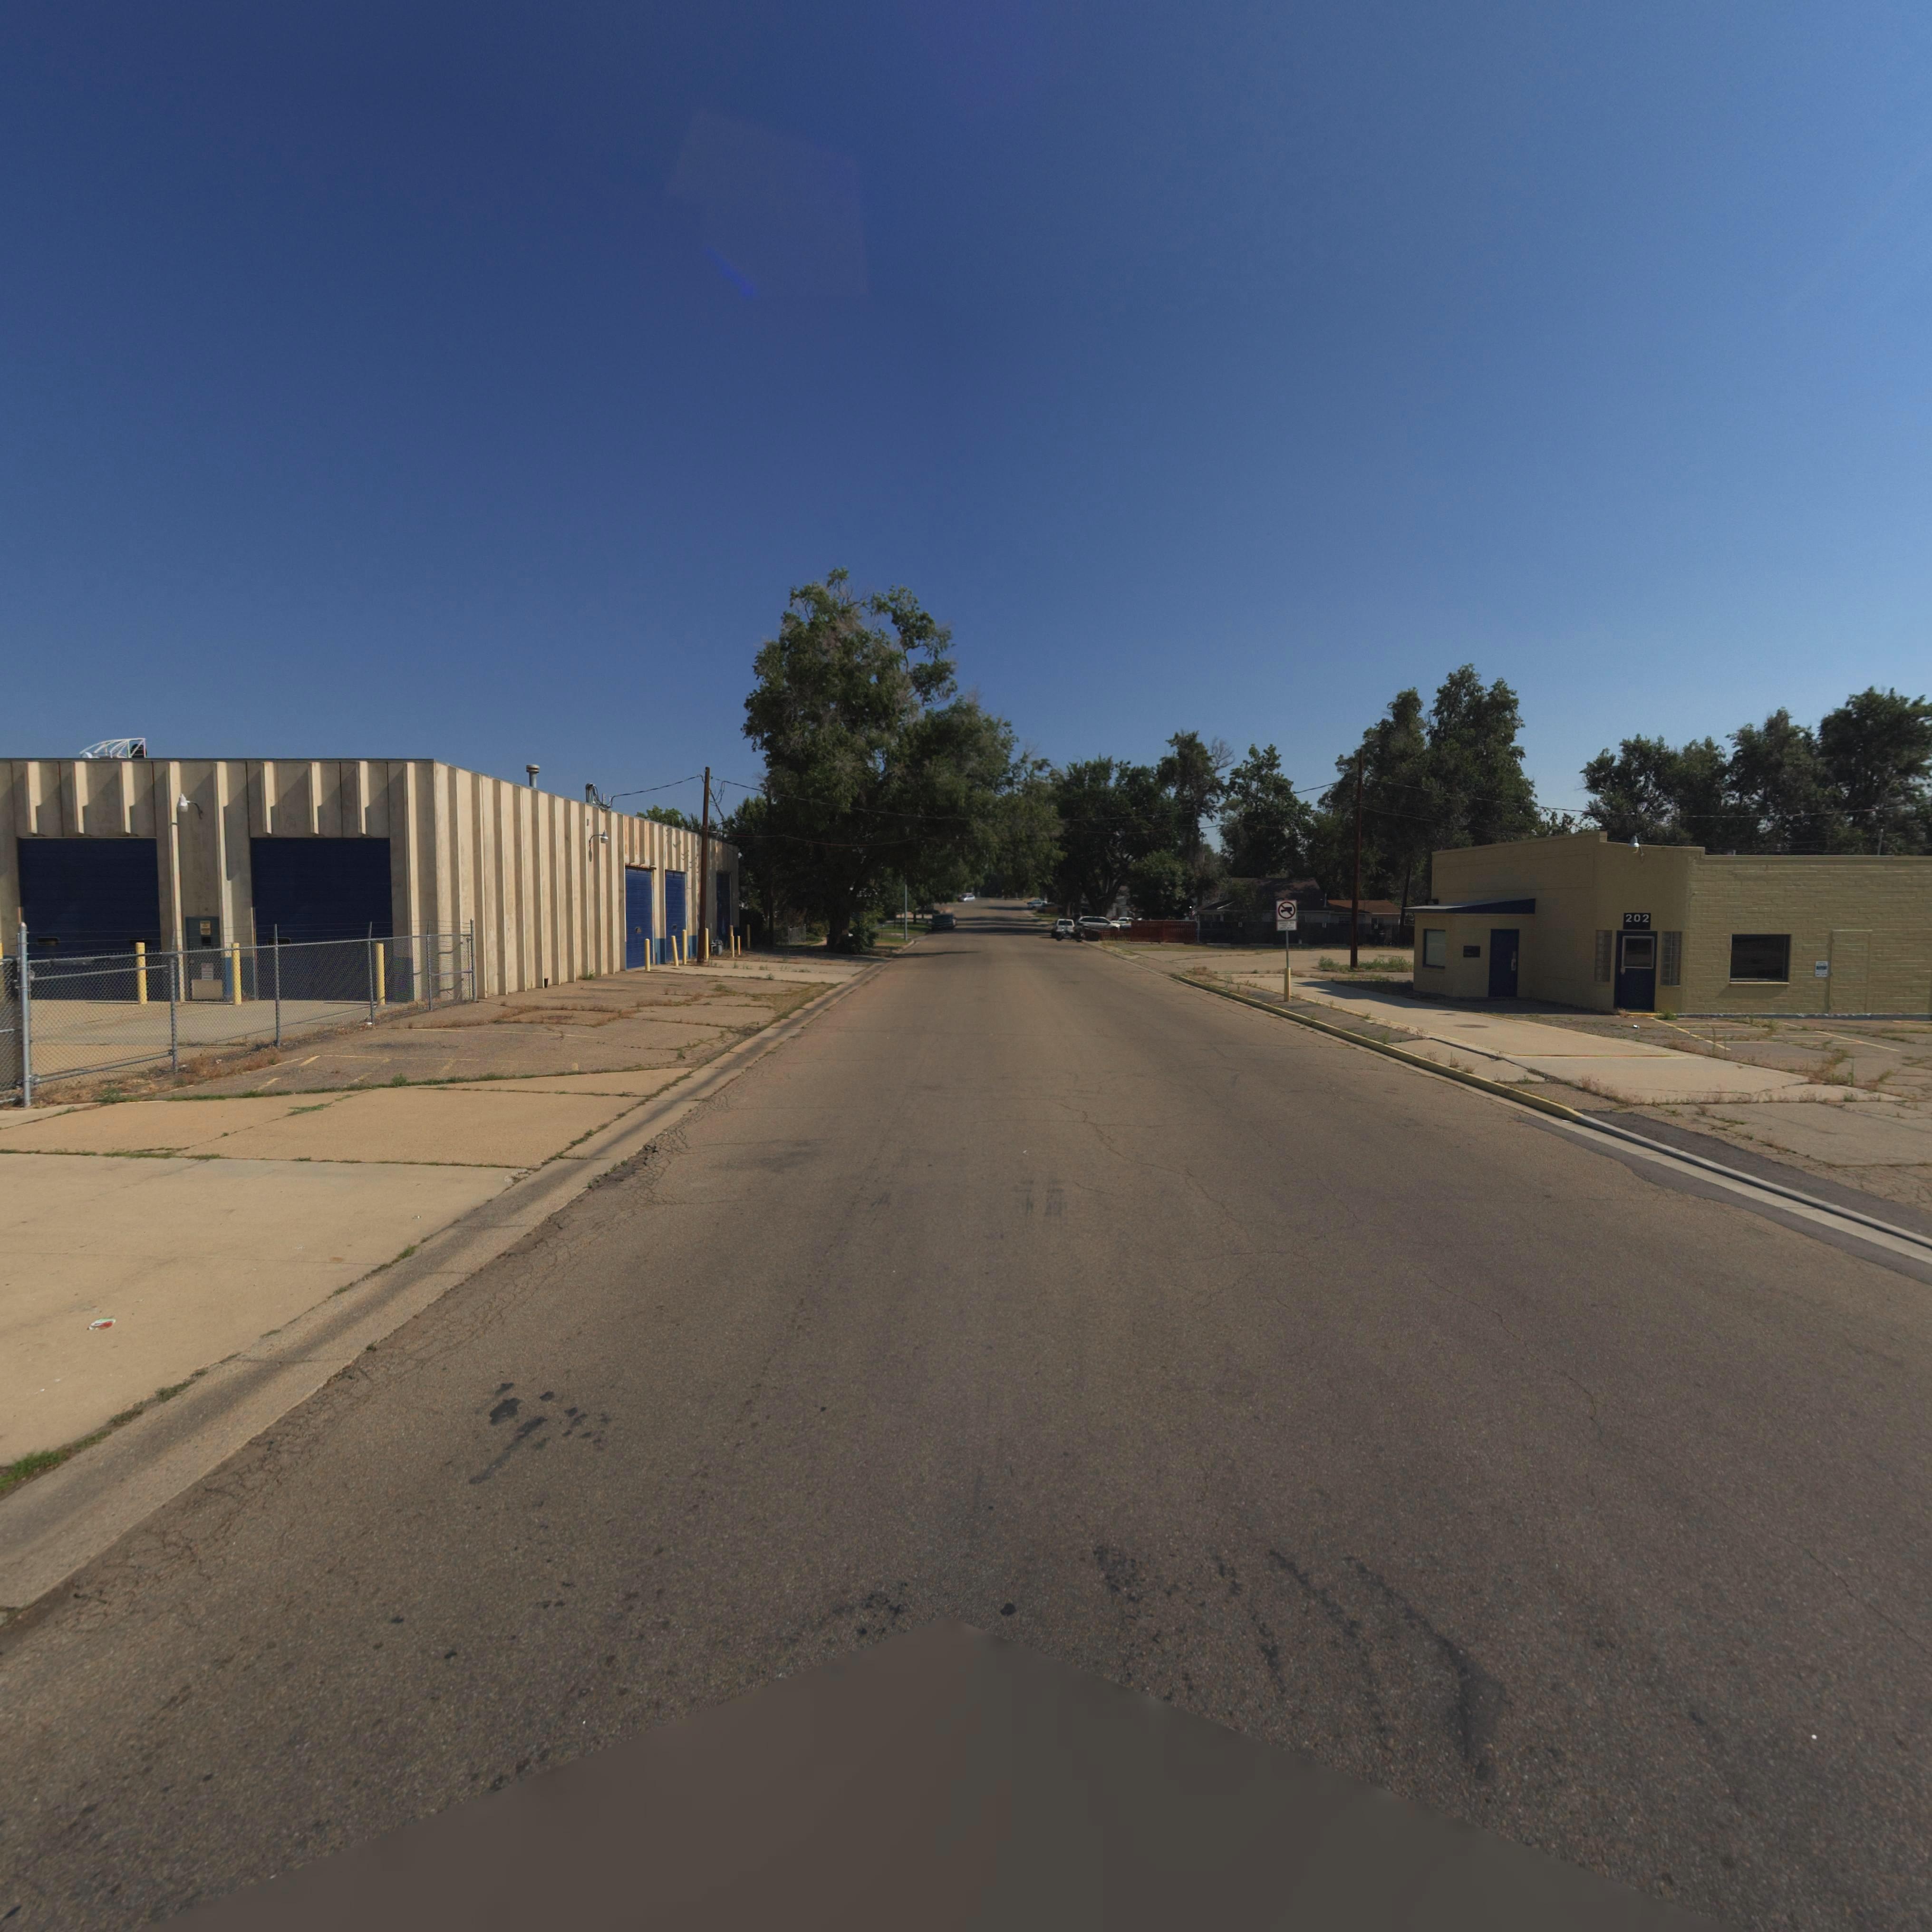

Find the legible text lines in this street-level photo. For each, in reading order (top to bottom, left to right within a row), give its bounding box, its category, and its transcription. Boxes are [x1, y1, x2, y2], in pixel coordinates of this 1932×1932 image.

[1625, 913, 1650, 922] StreetNumber: 202